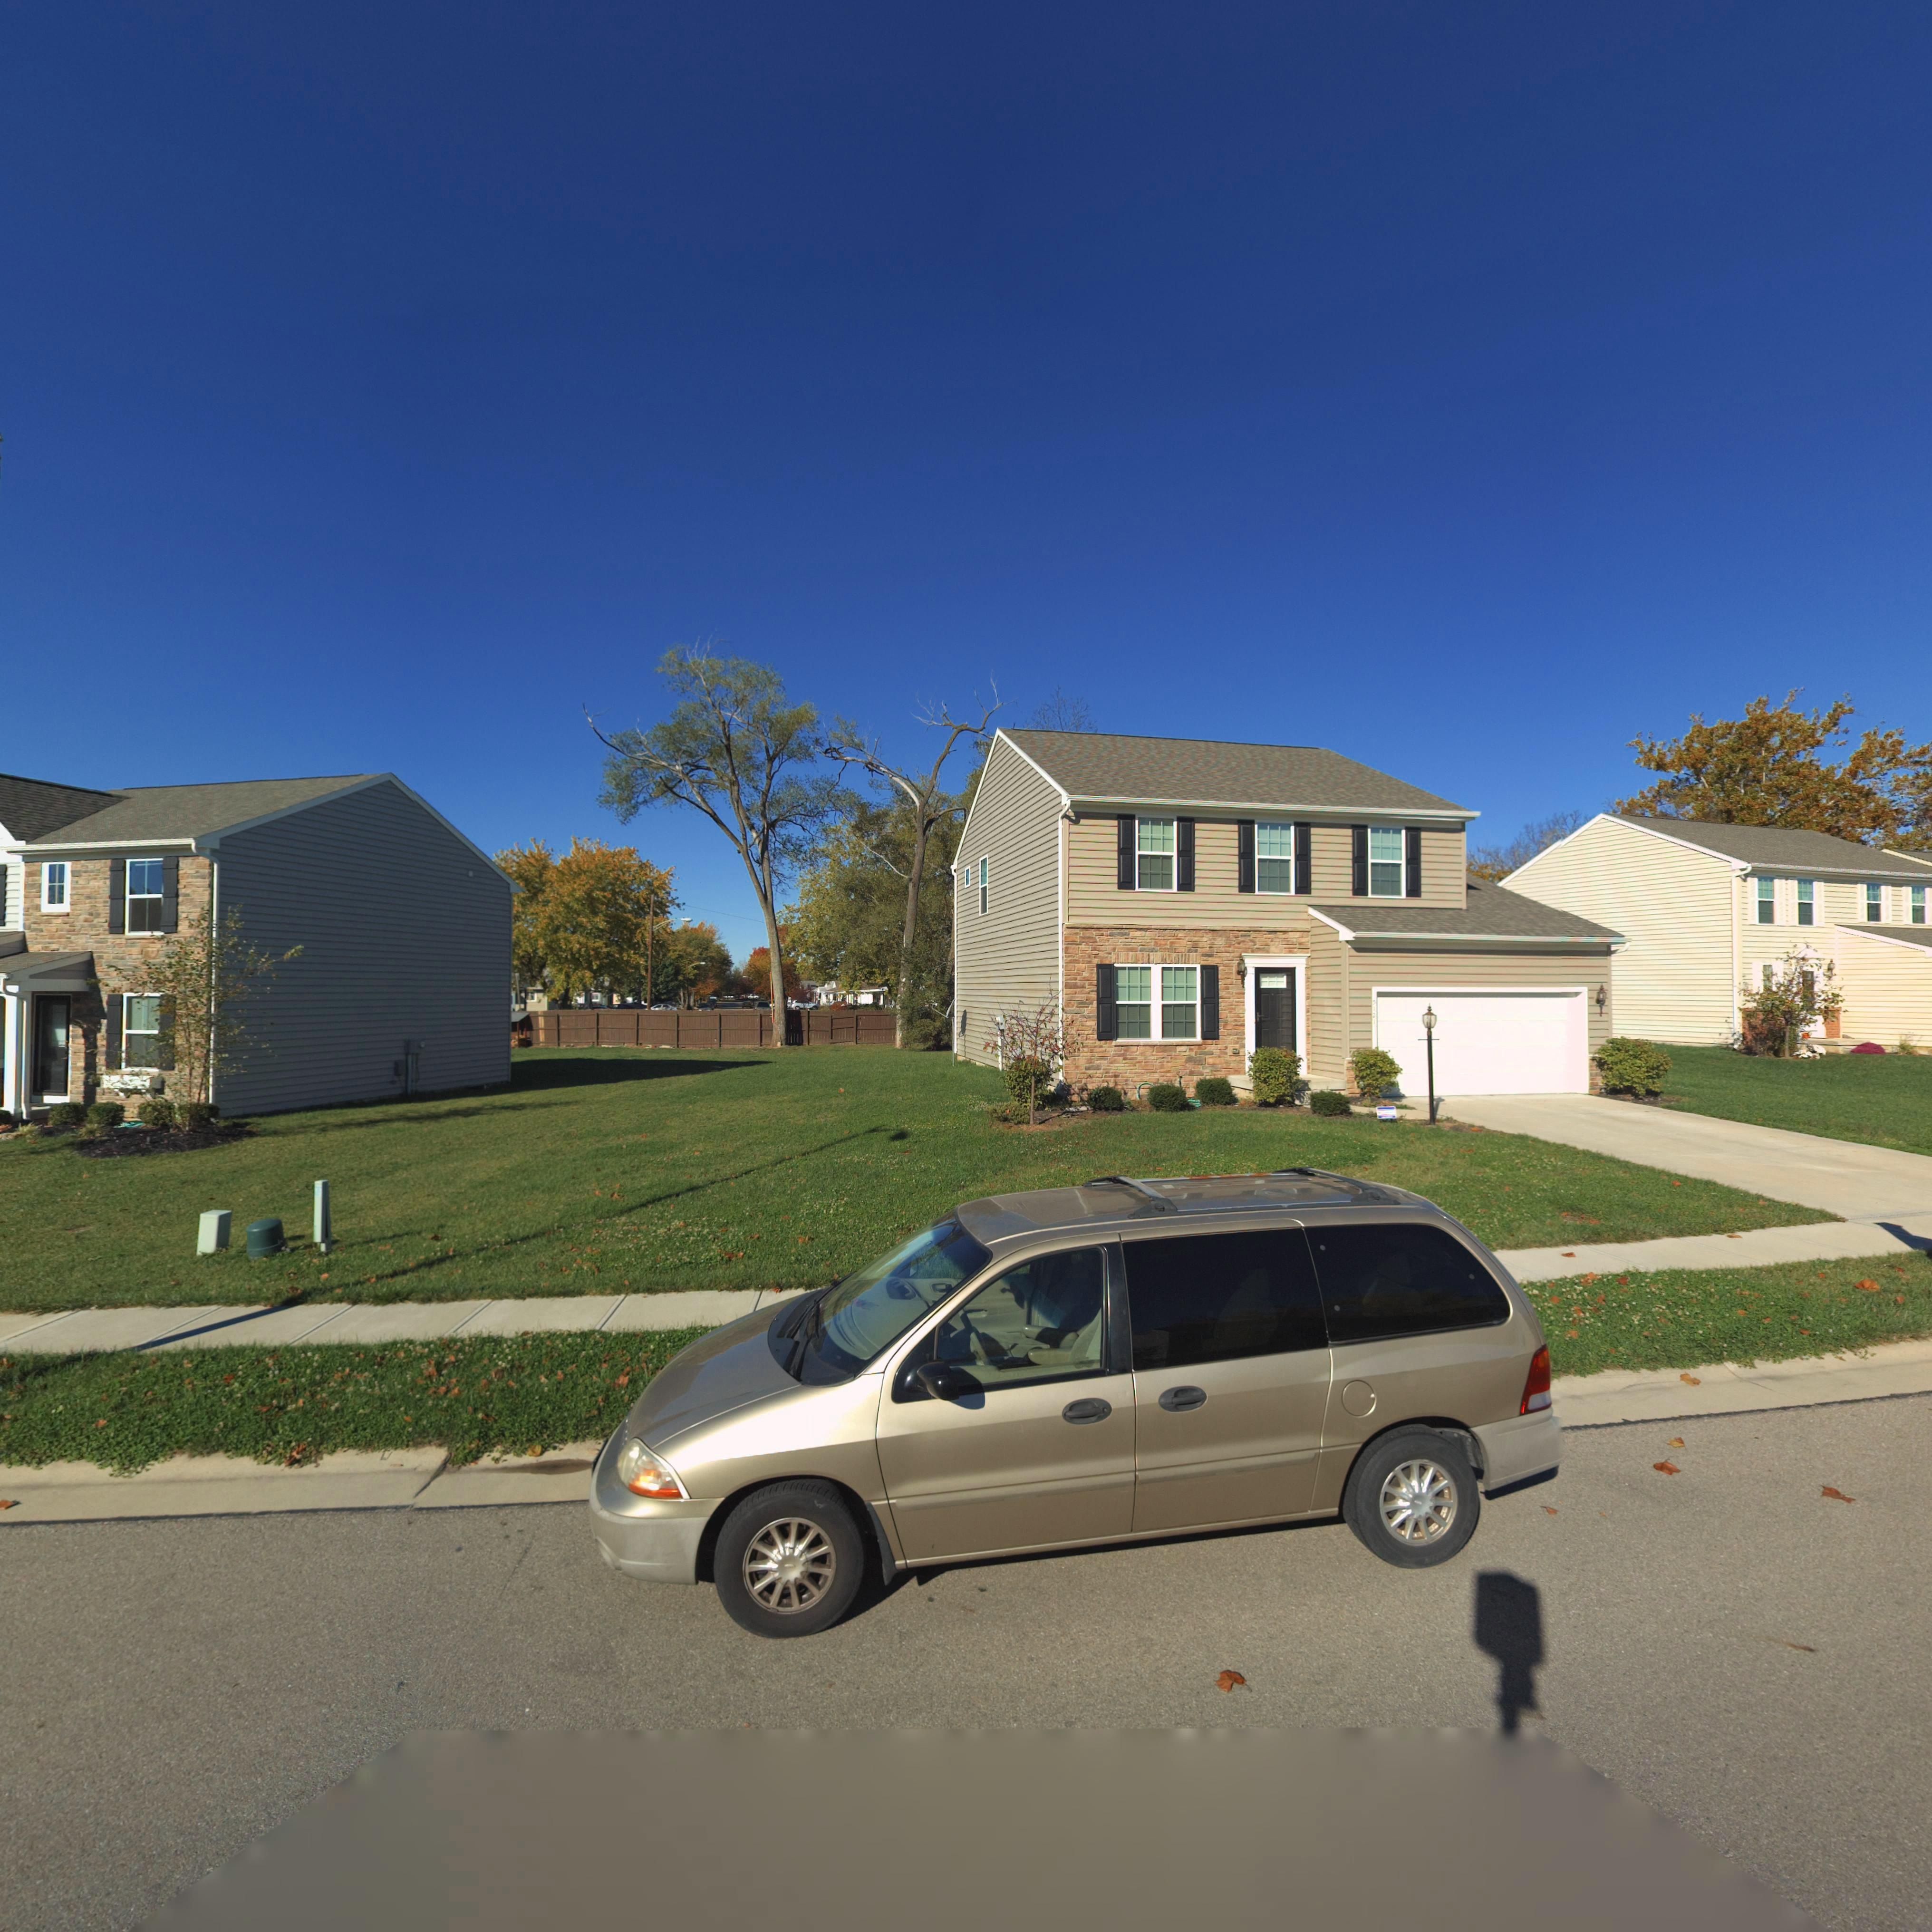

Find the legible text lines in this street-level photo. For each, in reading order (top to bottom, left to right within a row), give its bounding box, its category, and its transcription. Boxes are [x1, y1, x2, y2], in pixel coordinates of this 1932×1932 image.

[1372, 999, 1376, 1024] StreetNumber: 5121